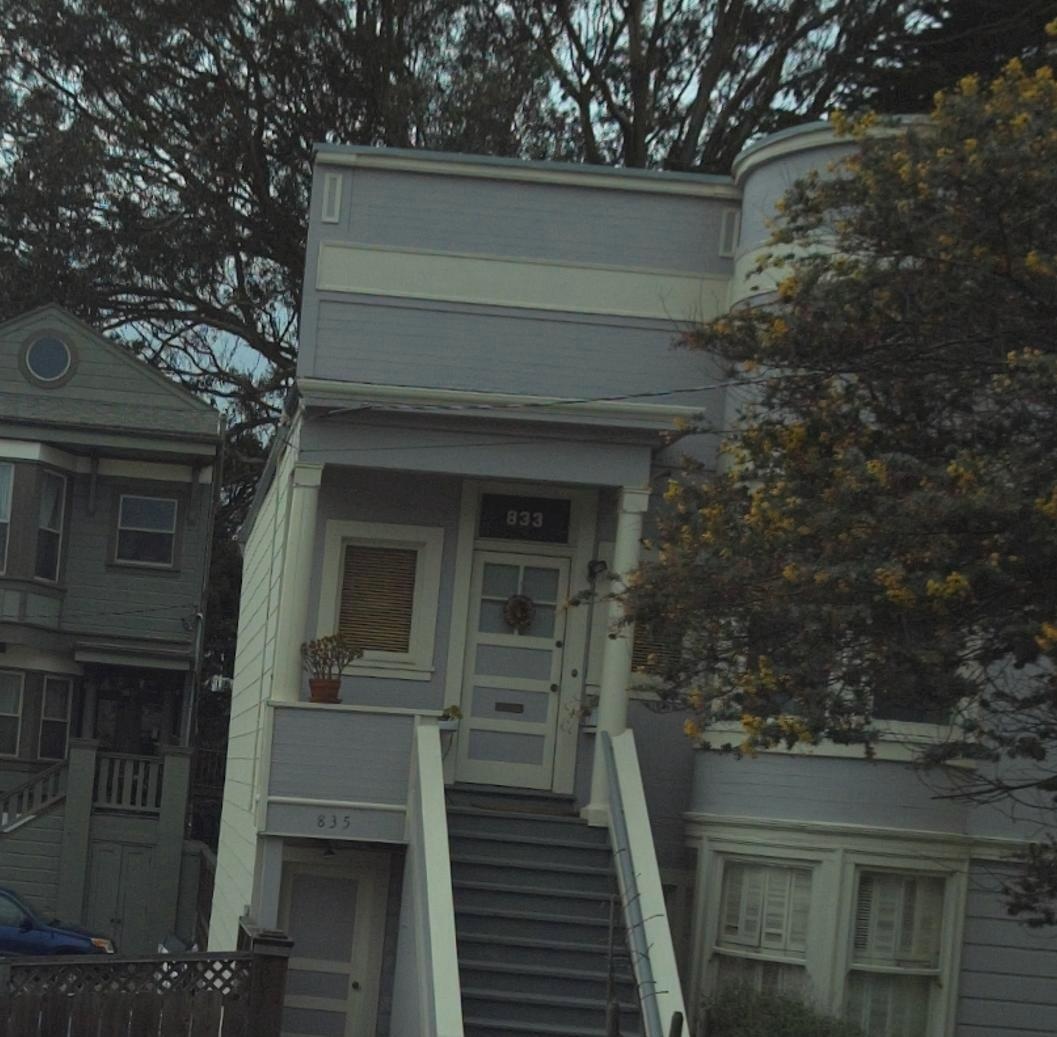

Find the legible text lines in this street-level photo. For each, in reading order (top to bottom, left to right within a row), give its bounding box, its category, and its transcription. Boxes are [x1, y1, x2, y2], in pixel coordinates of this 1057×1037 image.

[505, 508, 544, 529] StreetNumber: 833
[316, 813, 352, 831] StreetNumber: 835